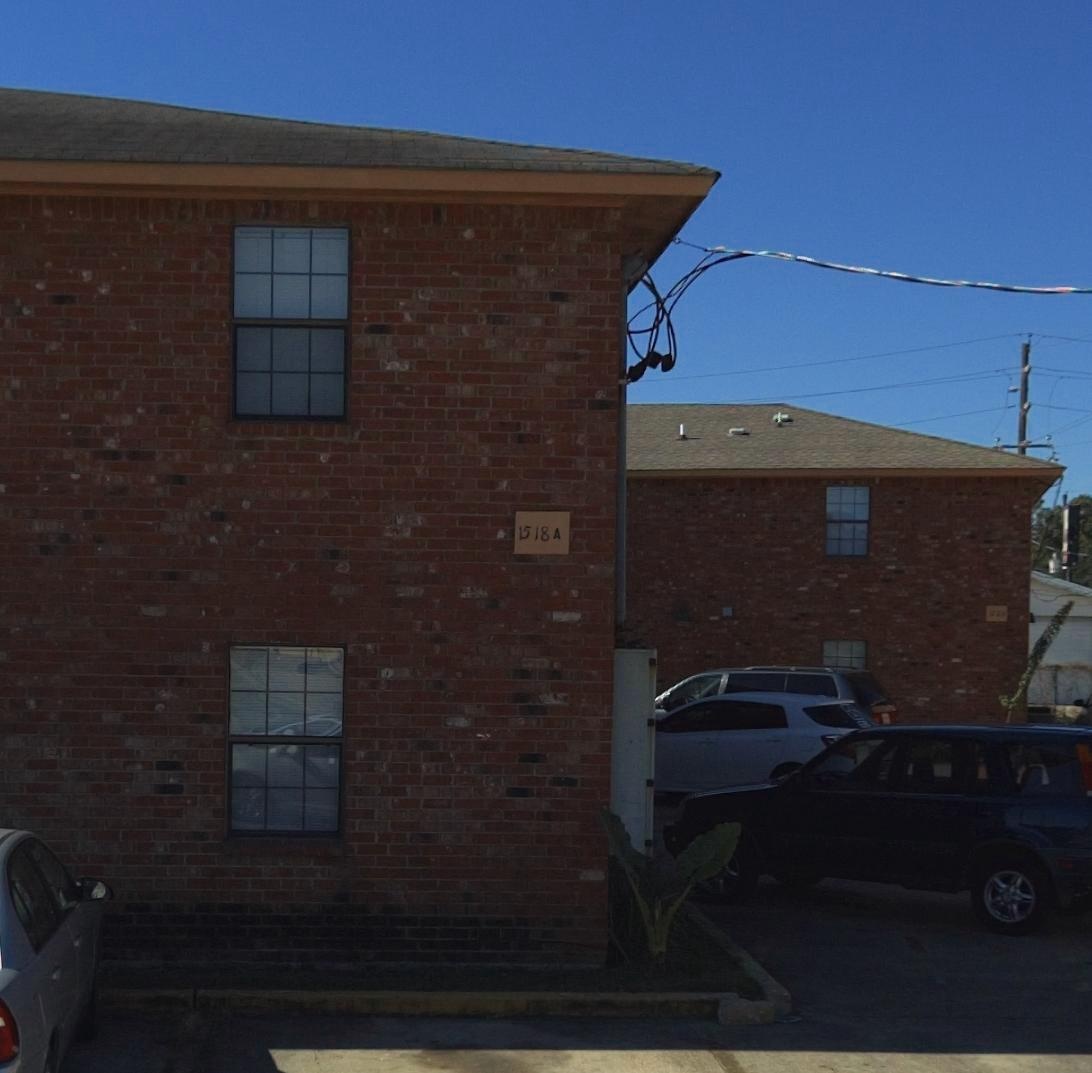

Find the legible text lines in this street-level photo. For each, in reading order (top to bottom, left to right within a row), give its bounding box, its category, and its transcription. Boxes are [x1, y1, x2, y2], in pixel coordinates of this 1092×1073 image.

[517, 524, 564, 543] StreetNumber: 1518 A